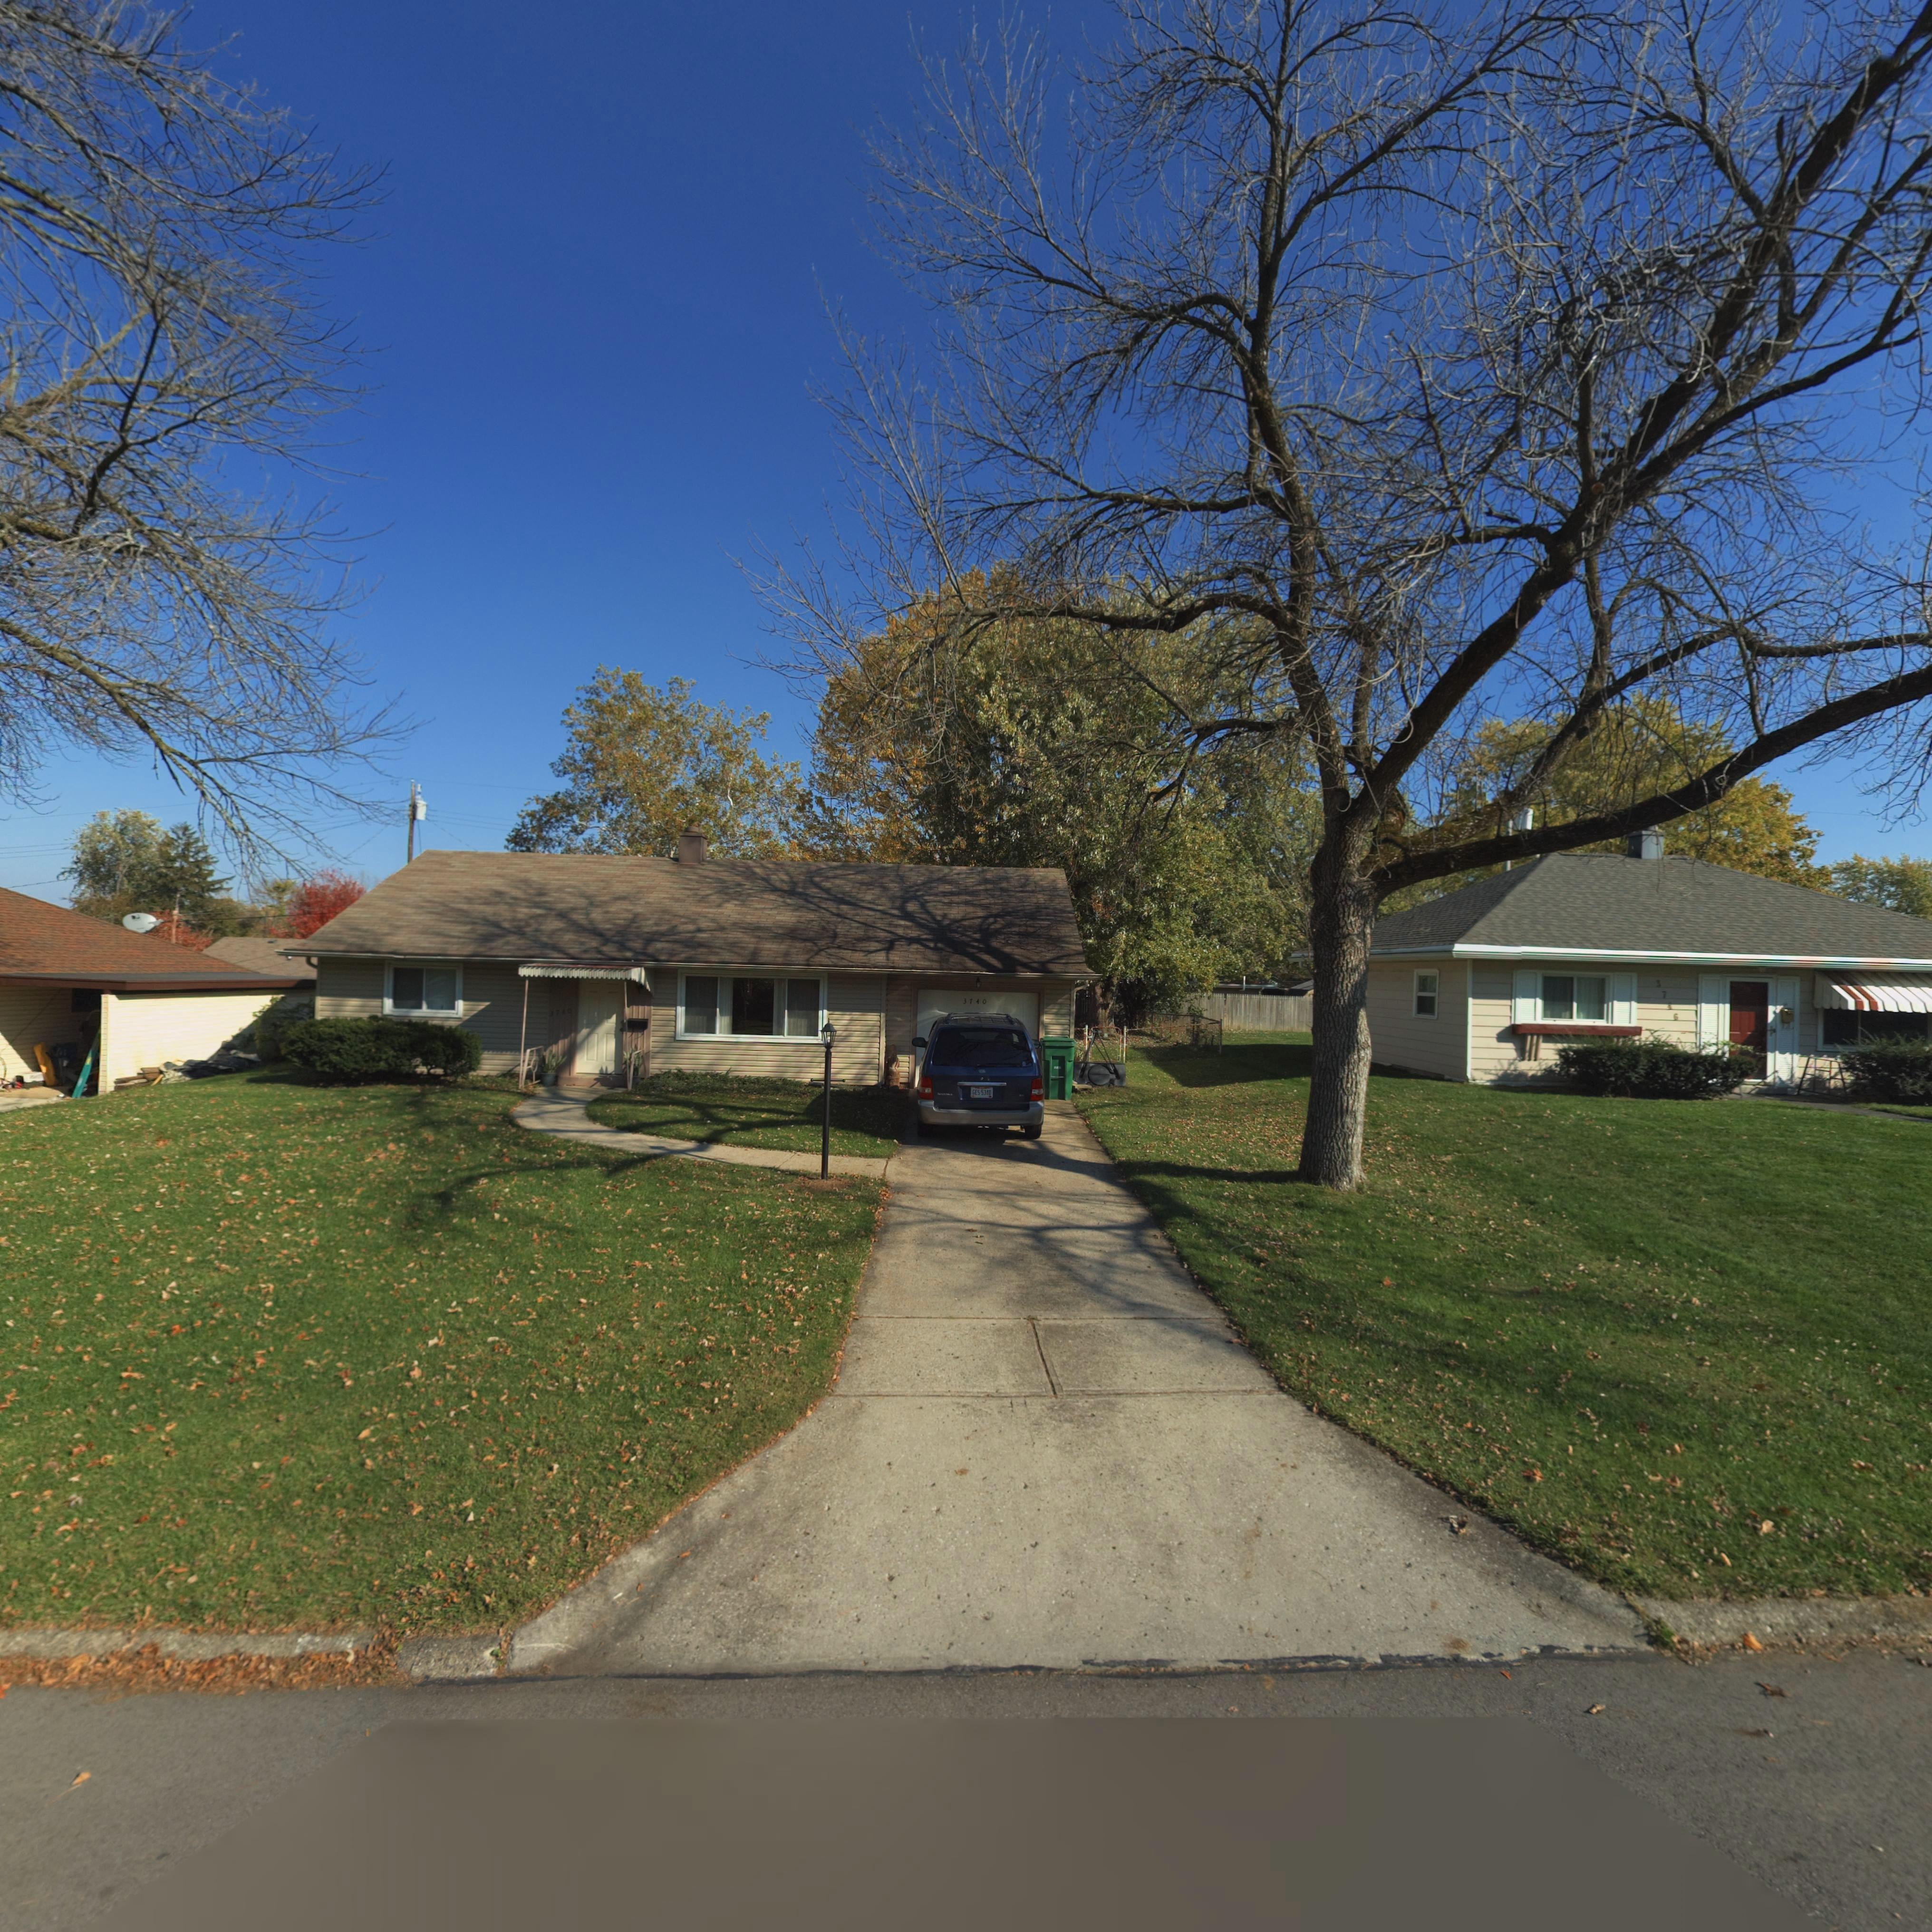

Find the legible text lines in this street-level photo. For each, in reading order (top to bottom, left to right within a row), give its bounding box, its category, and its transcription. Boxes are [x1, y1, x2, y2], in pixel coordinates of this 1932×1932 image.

[961, 997, 988, 1005] StreetNumber: 3740
[1654, 978, 1680, 1022] StreetNumber: 3746
[549, 1006, 573, 1018] StreetNumber: 37*0
[972, 1089, 992, 1096] None: GES 5340